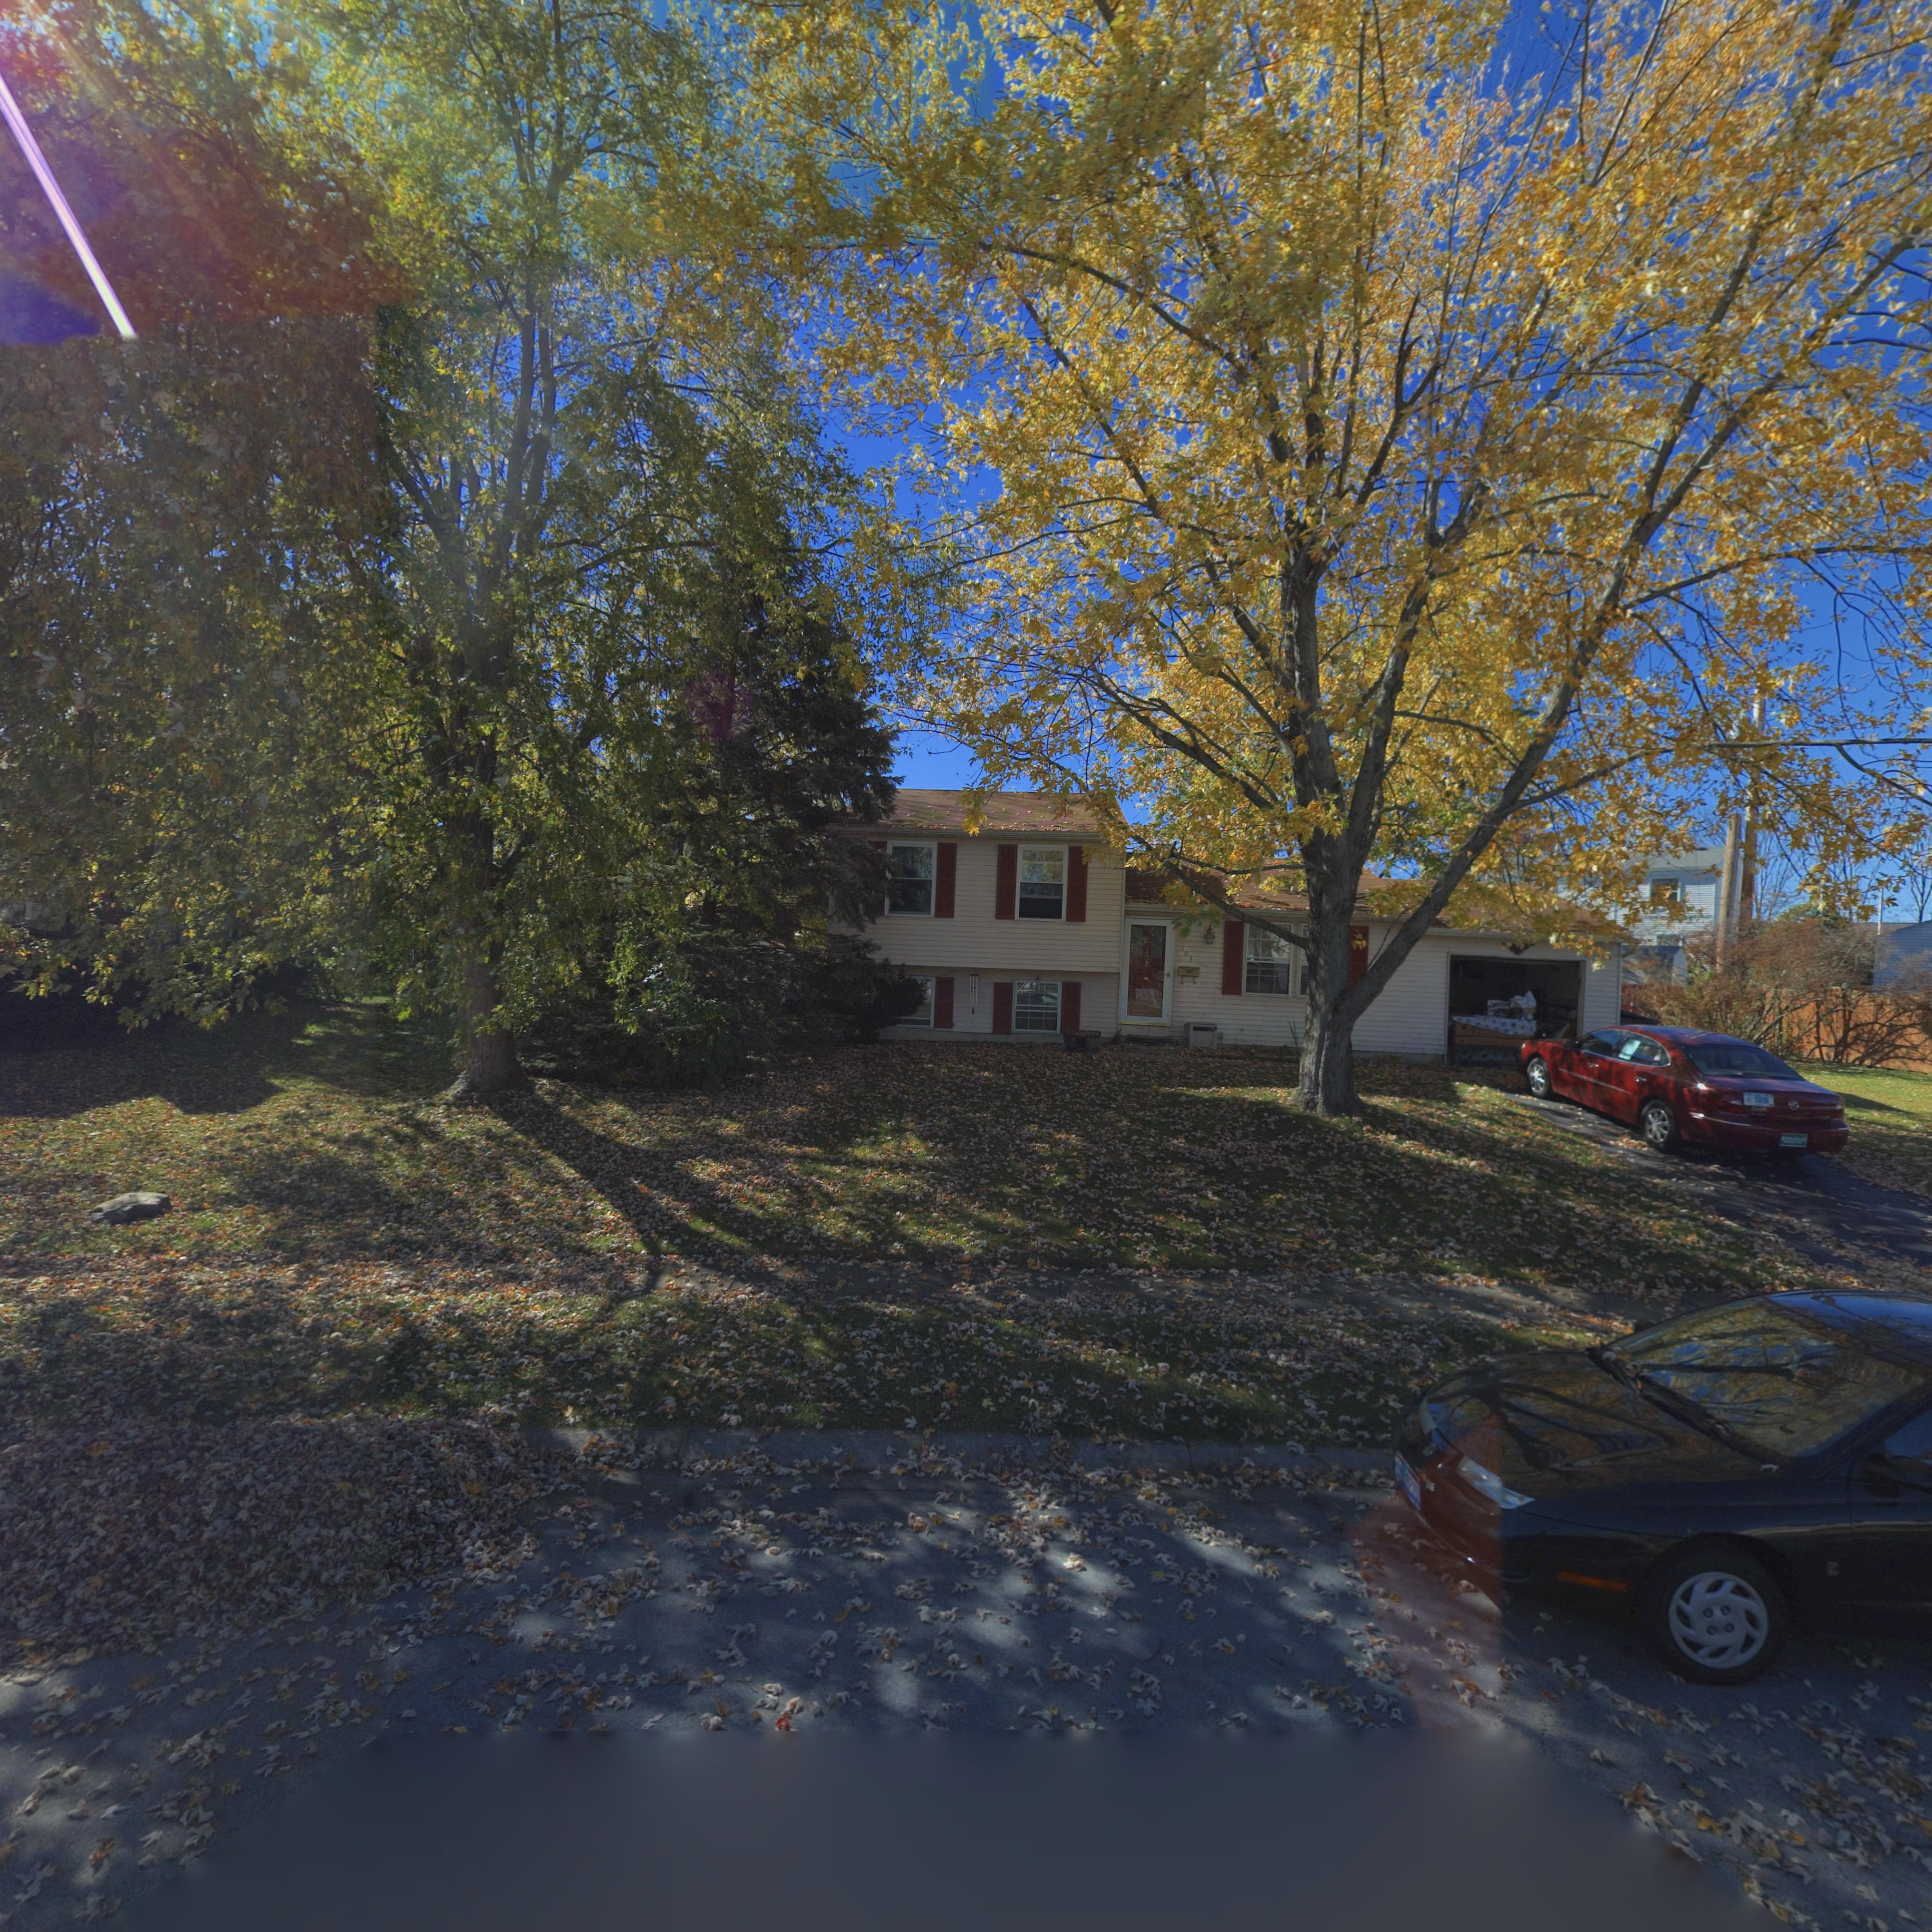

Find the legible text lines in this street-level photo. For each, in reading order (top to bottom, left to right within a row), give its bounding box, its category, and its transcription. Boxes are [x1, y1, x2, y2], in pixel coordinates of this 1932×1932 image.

[1180, 945, 1193, 963] StreetNumber: 103